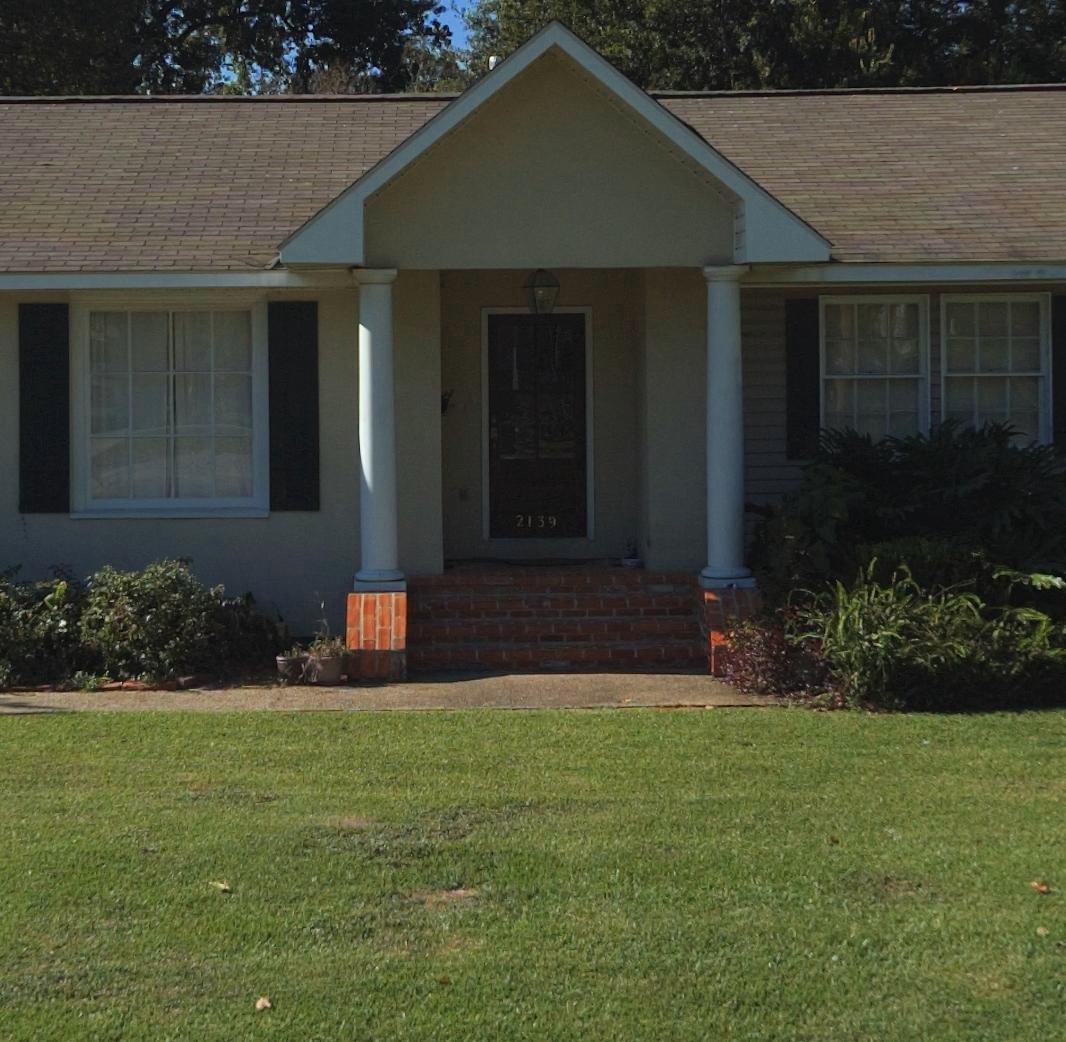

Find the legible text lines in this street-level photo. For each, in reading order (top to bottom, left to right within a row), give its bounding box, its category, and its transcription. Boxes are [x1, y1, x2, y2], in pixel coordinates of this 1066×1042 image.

[514, 511, 558, 531] StreetNumber: 2139